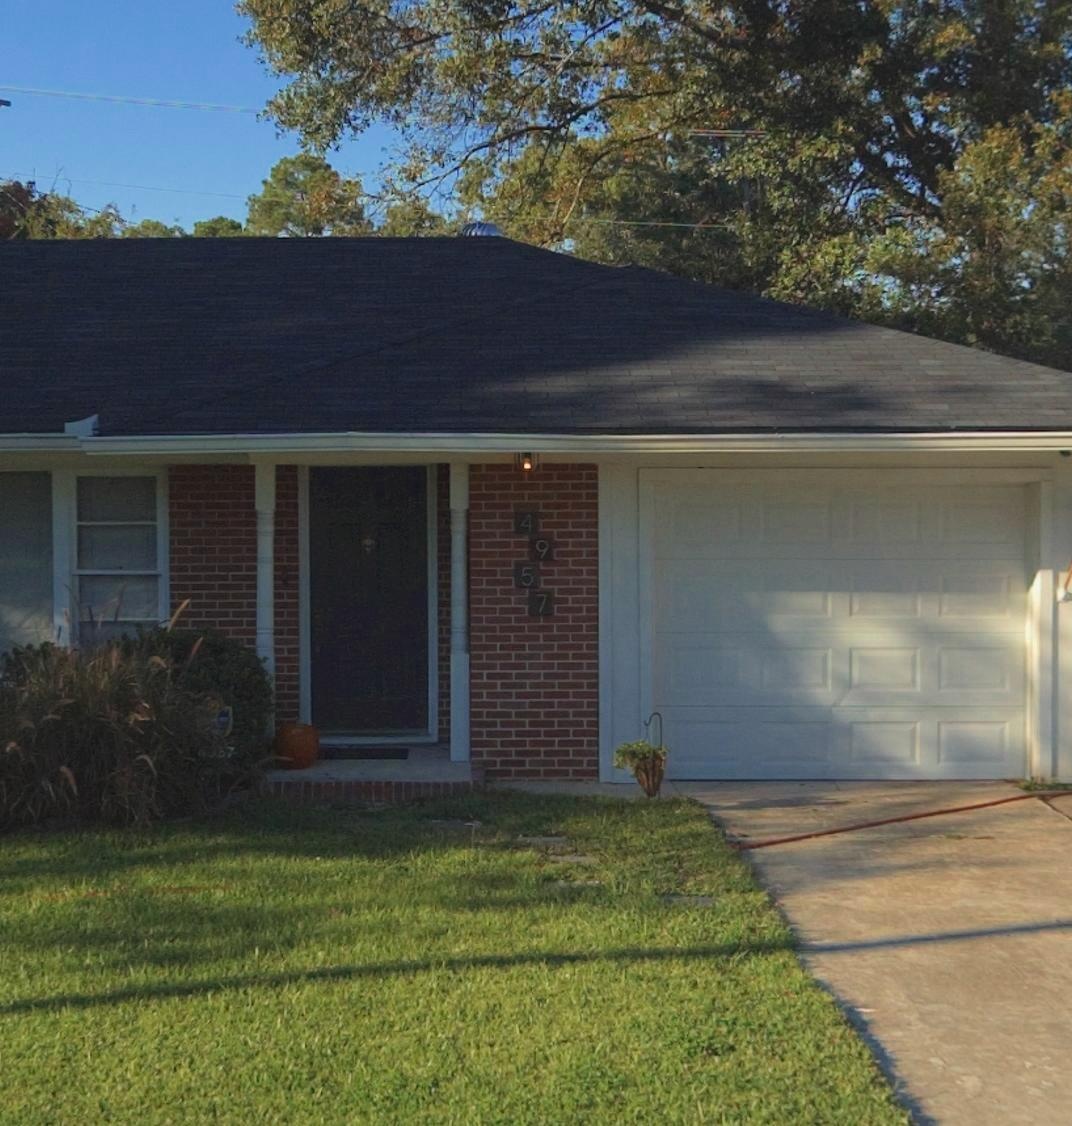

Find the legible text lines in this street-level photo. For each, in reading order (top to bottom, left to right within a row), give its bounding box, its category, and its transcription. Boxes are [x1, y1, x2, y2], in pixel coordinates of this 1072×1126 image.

[520, 512, 550, 613] StreetNumber: 4957